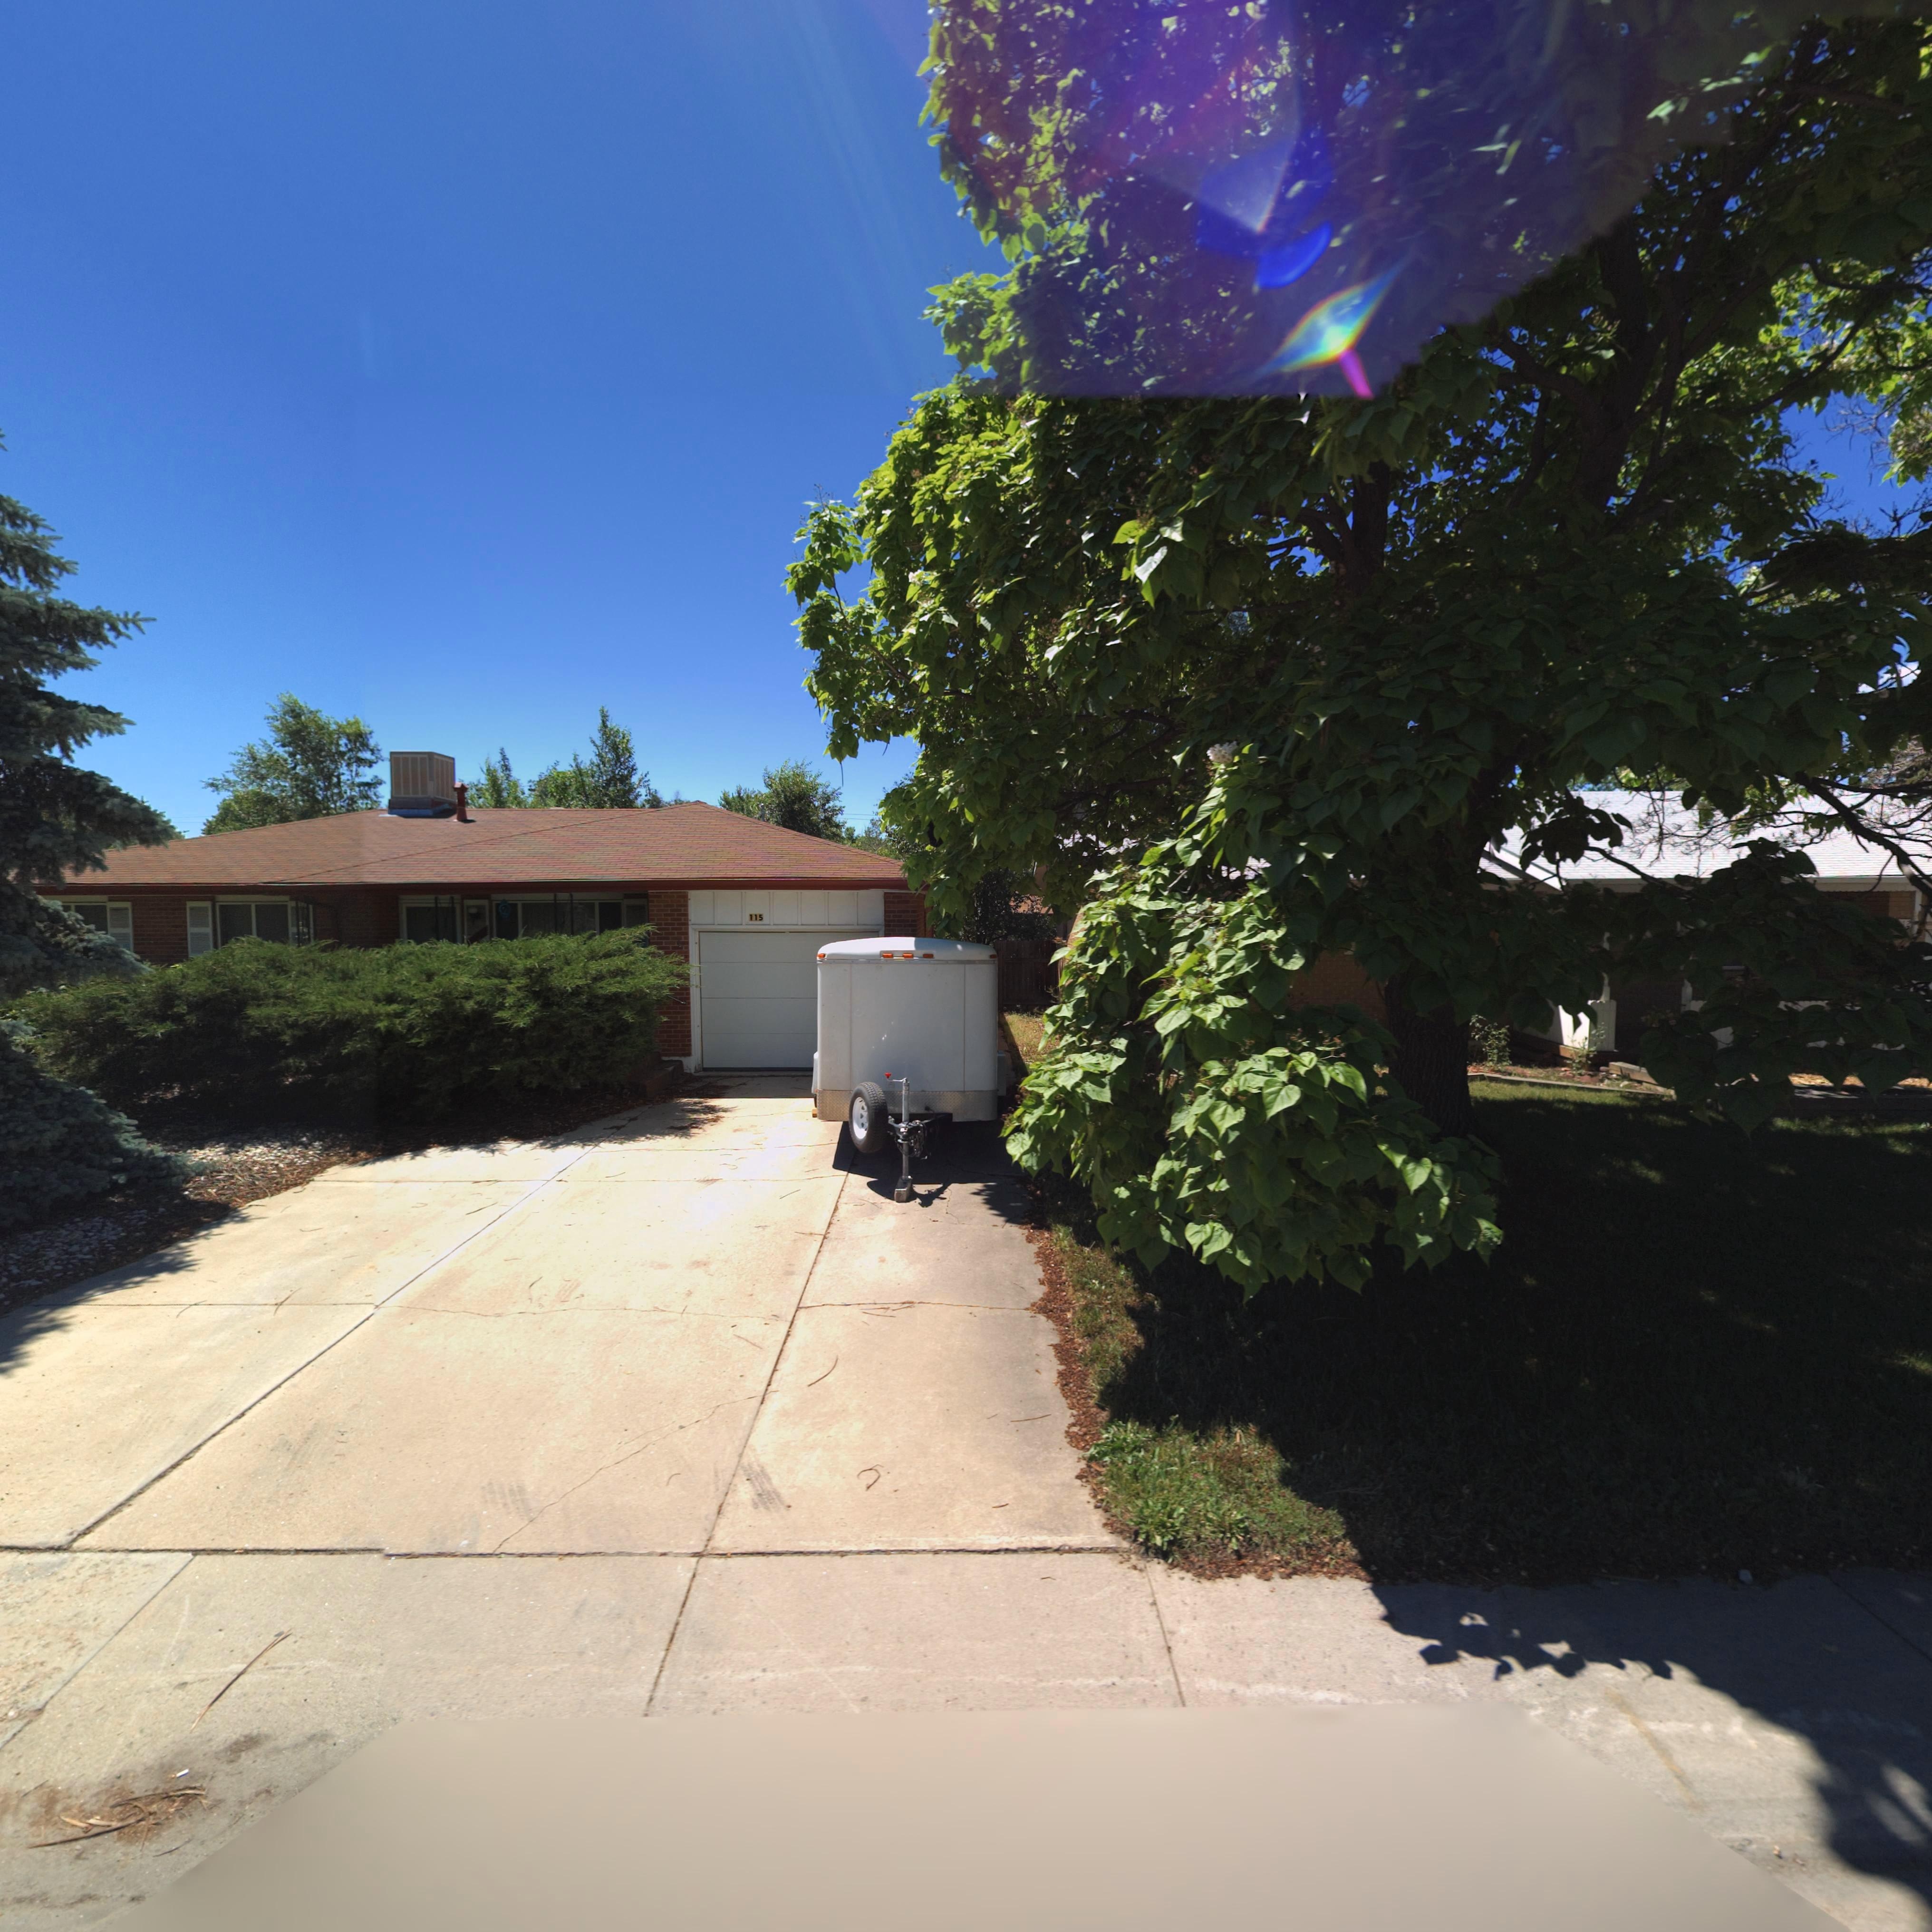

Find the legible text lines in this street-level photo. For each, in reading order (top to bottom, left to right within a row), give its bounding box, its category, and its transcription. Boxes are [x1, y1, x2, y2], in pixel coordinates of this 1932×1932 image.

[749, 914, 763, 921] StreetNumber: 115